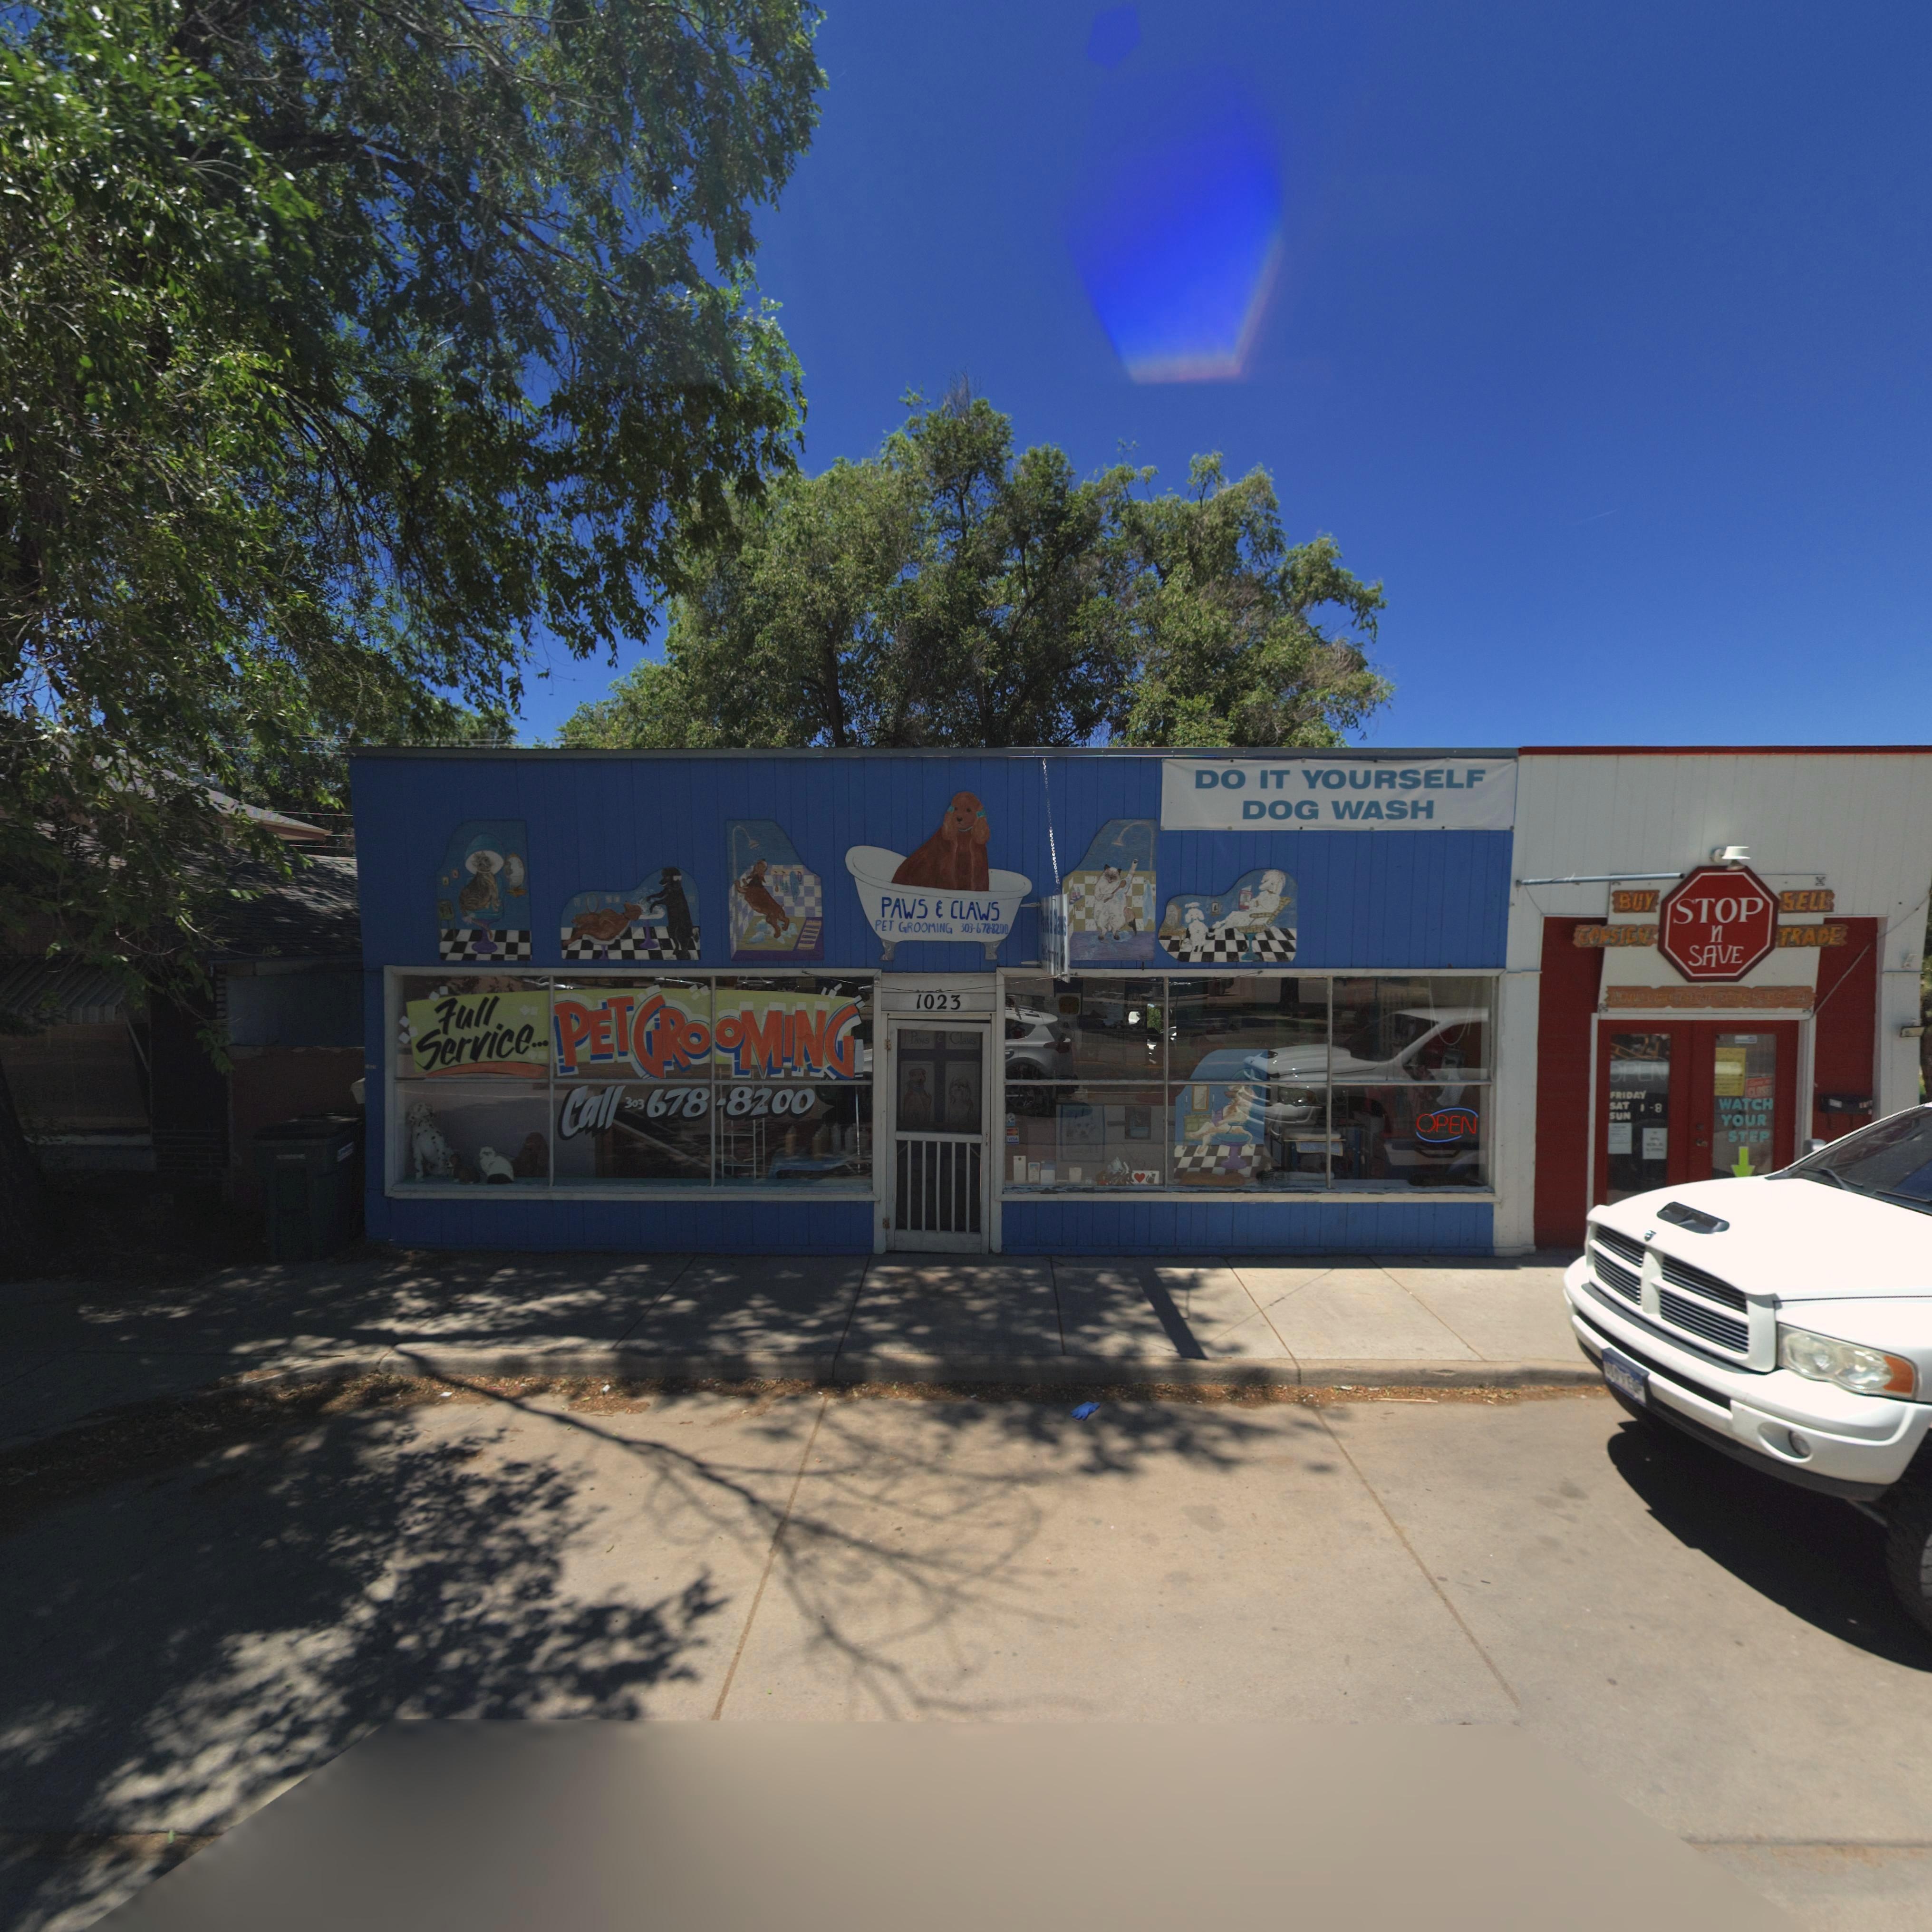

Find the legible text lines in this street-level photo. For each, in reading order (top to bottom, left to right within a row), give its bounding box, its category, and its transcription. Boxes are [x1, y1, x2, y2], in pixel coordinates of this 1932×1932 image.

[880, 896, 1000, 922] BusinessName: PAWS * CLAWS
[1672, 897, 1766, 925] BusinessName: STOP
[1709, 924, 1723, 942] BusinessName: n
[1688, 942, 1745, 967] BusinessName: SAVE
[916, 994, 961, 1010] StreetNumber: 1023
[910, 1031, 930, 1044] BusinessName: Paws
[948, 1031, 976, 1045] BusinessName: Claws